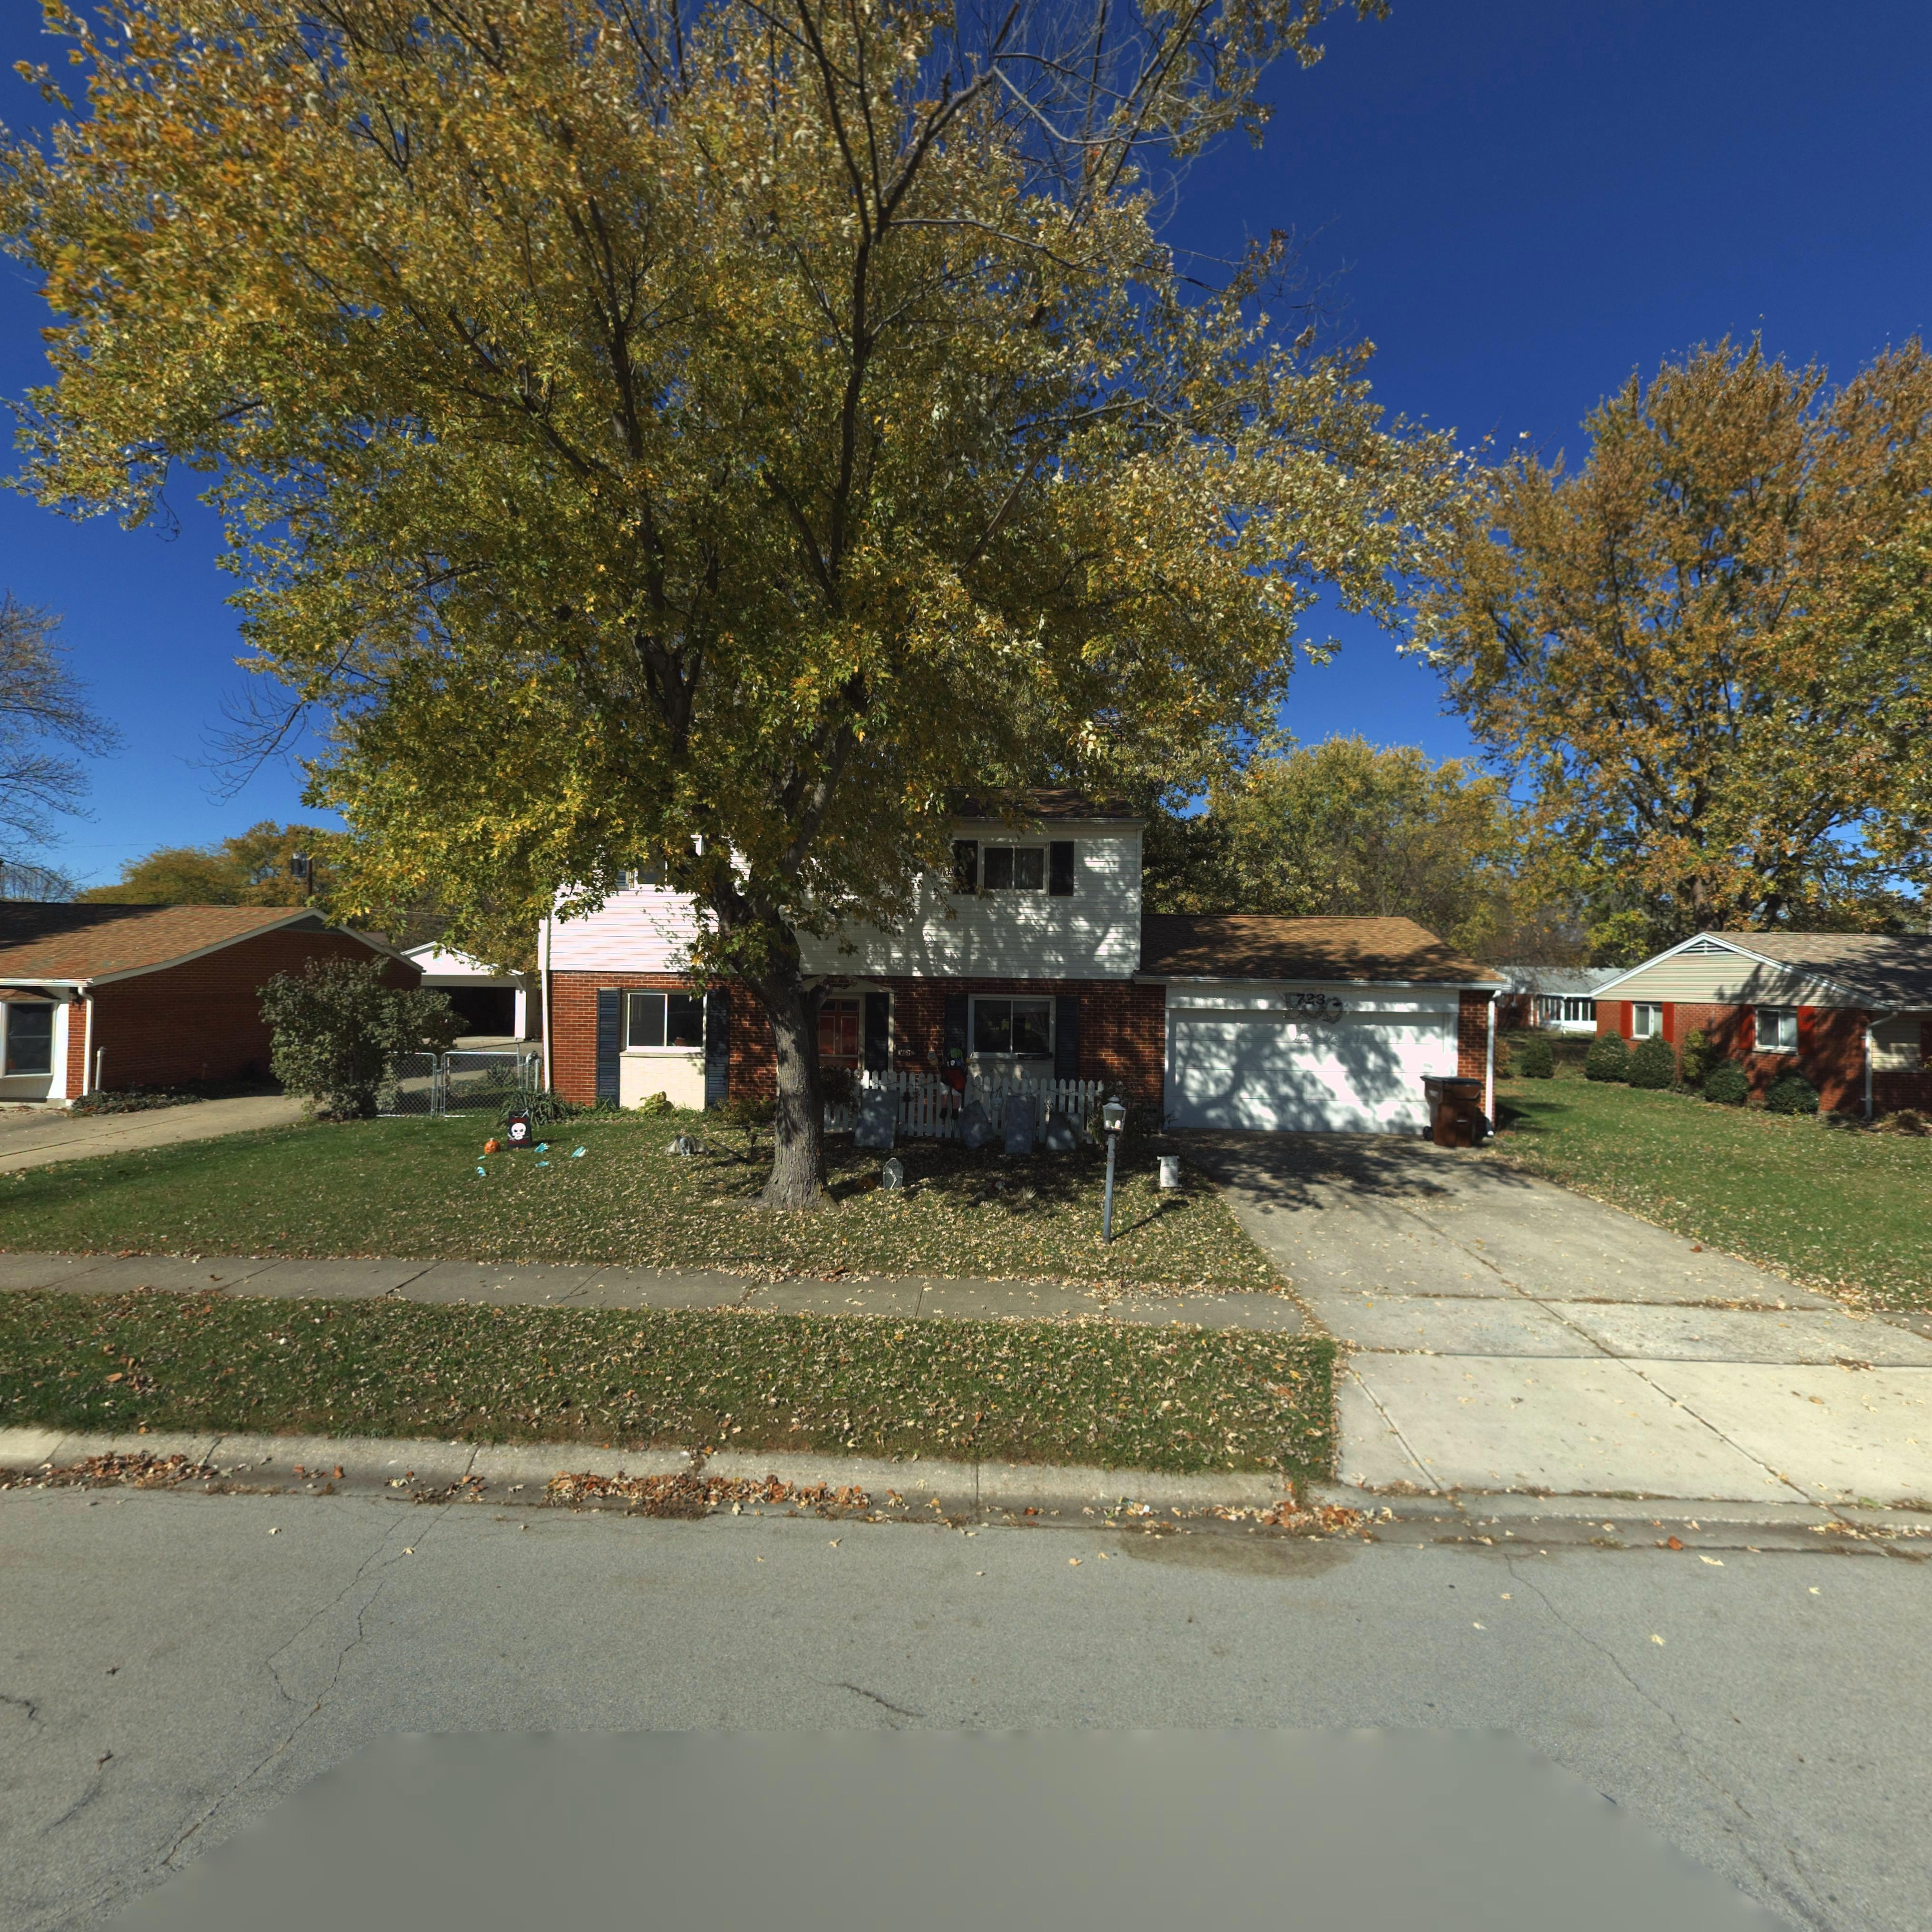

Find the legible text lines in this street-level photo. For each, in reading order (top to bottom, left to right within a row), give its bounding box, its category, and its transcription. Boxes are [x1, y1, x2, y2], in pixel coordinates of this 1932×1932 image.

[1294, 992, 1327, 1005] StreetNumber: 723